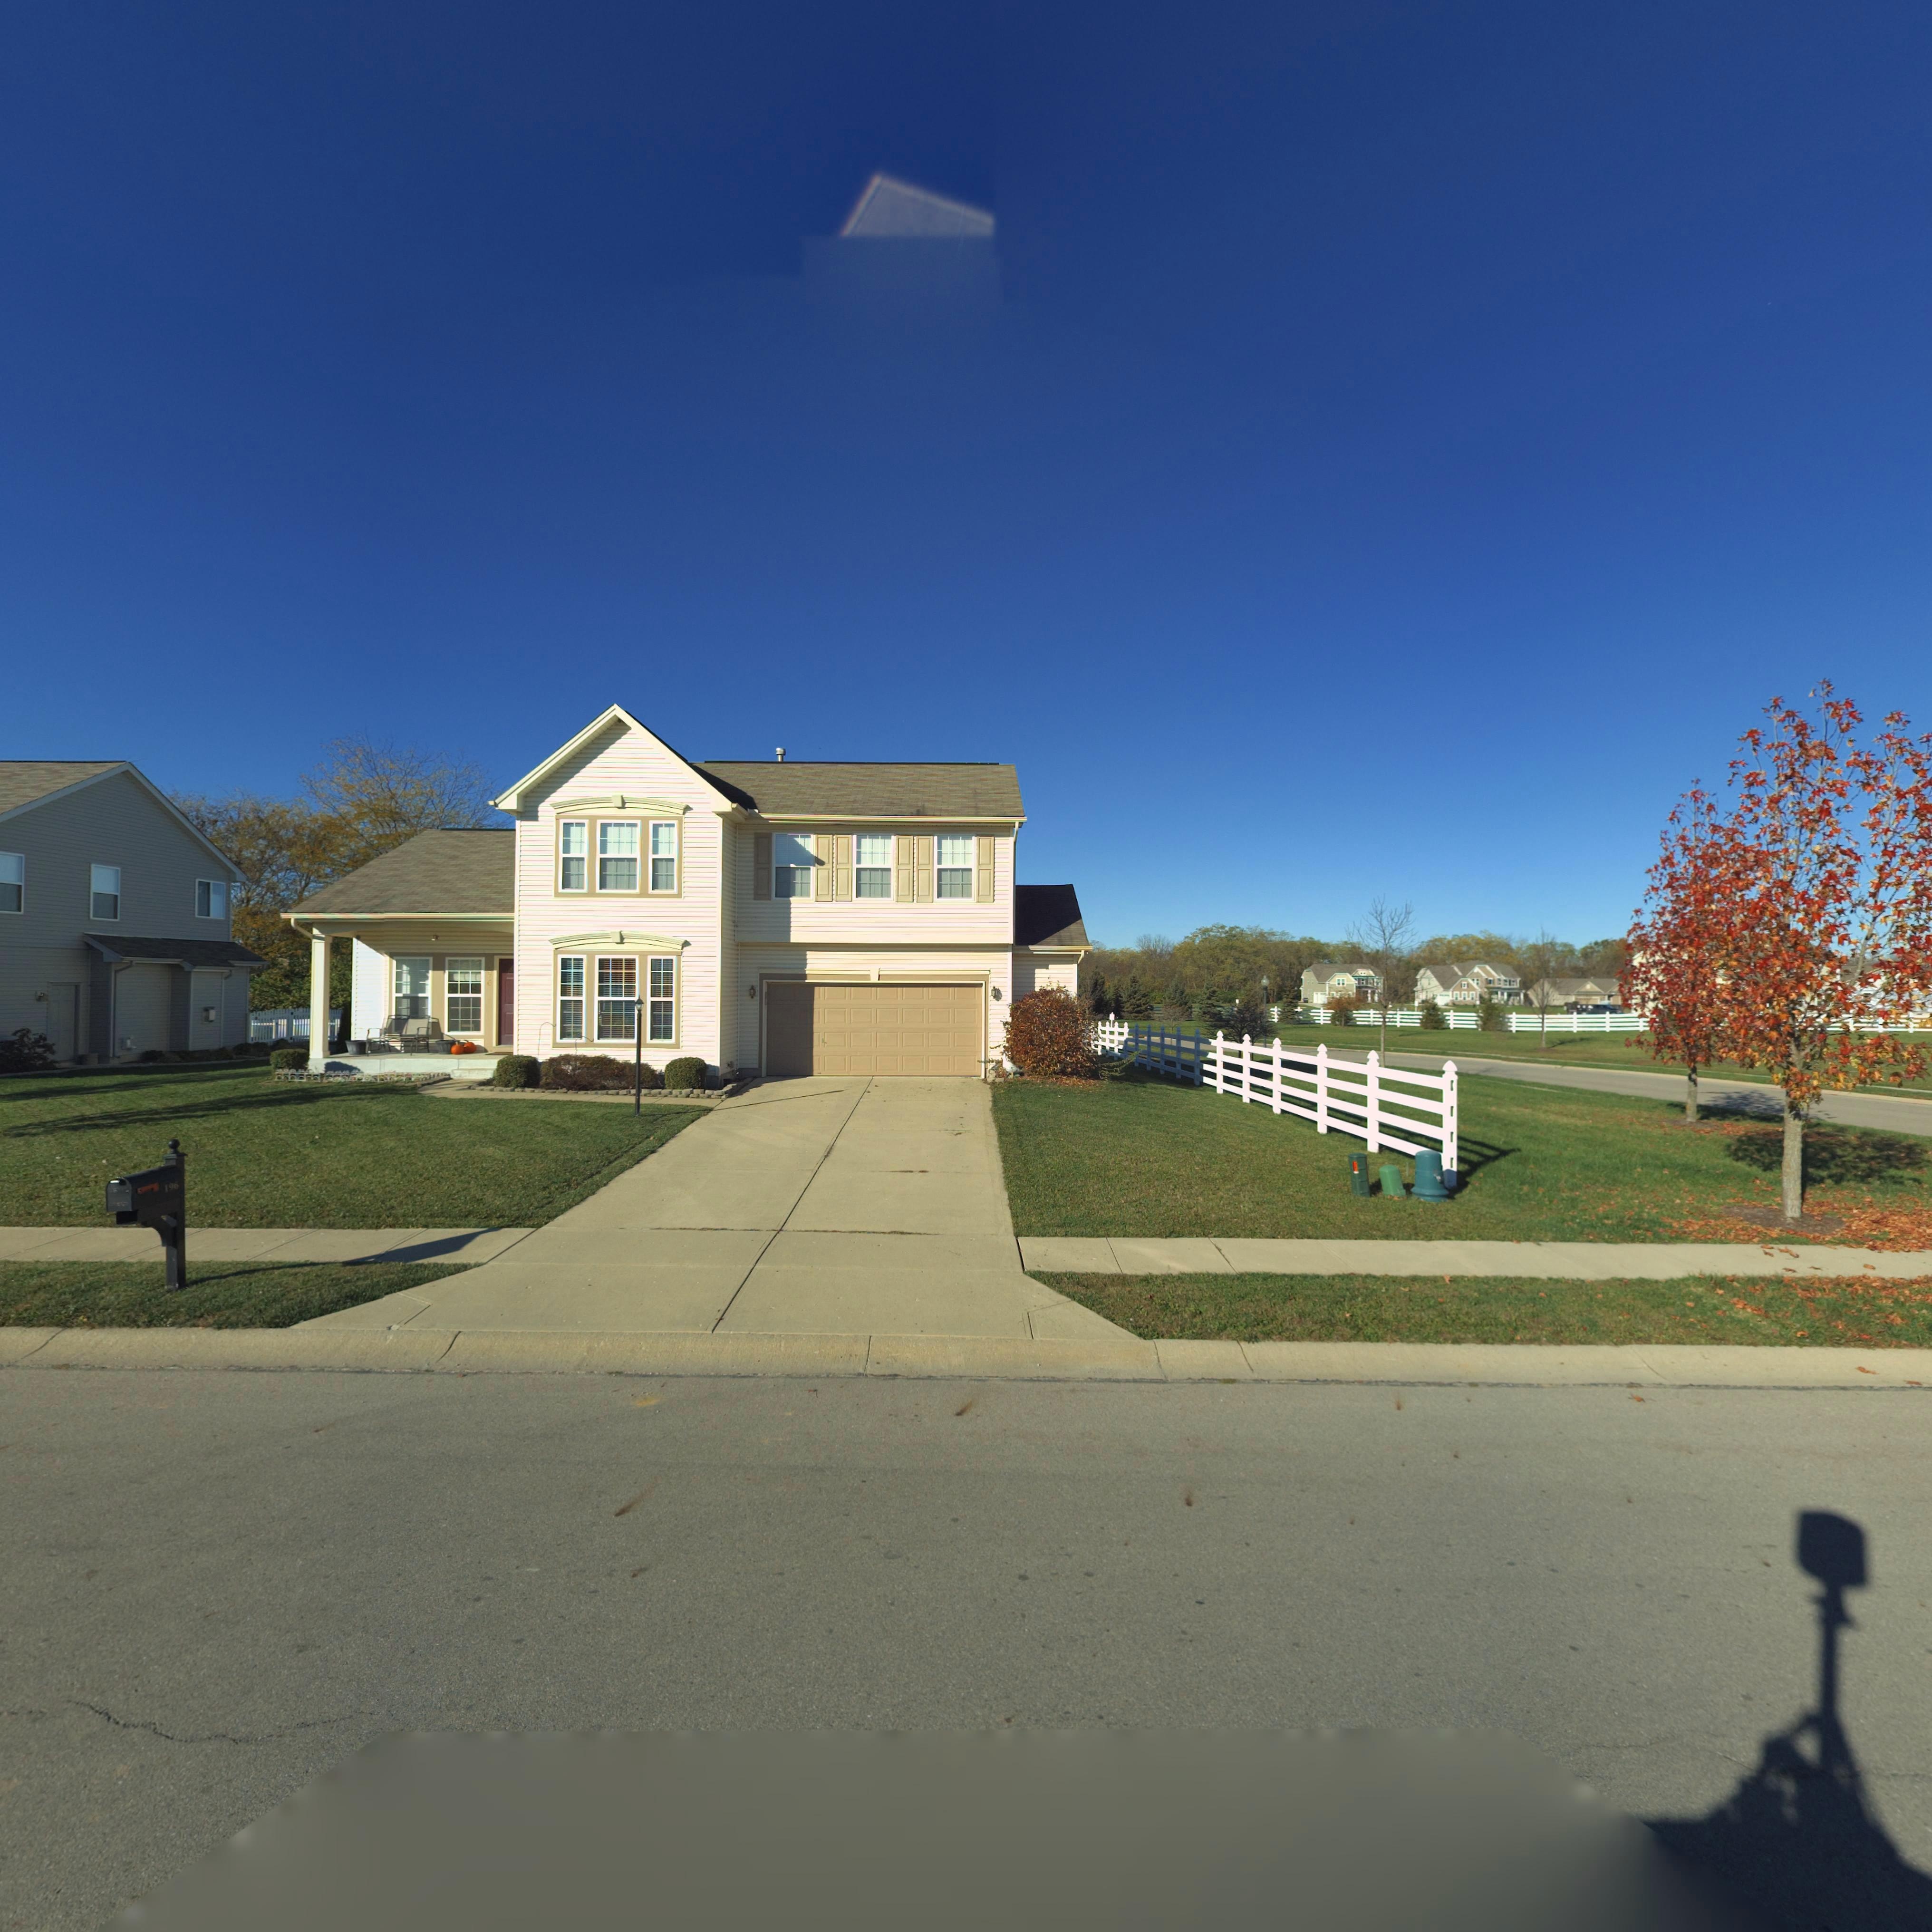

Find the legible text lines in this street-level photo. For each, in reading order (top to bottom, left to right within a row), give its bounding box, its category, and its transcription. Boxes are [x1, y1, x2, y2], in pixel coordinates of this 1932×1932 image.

[486, 959, 492, 985] StreetNumber: 196
[164, 1180, 180, 1193] StreetNumber: 196